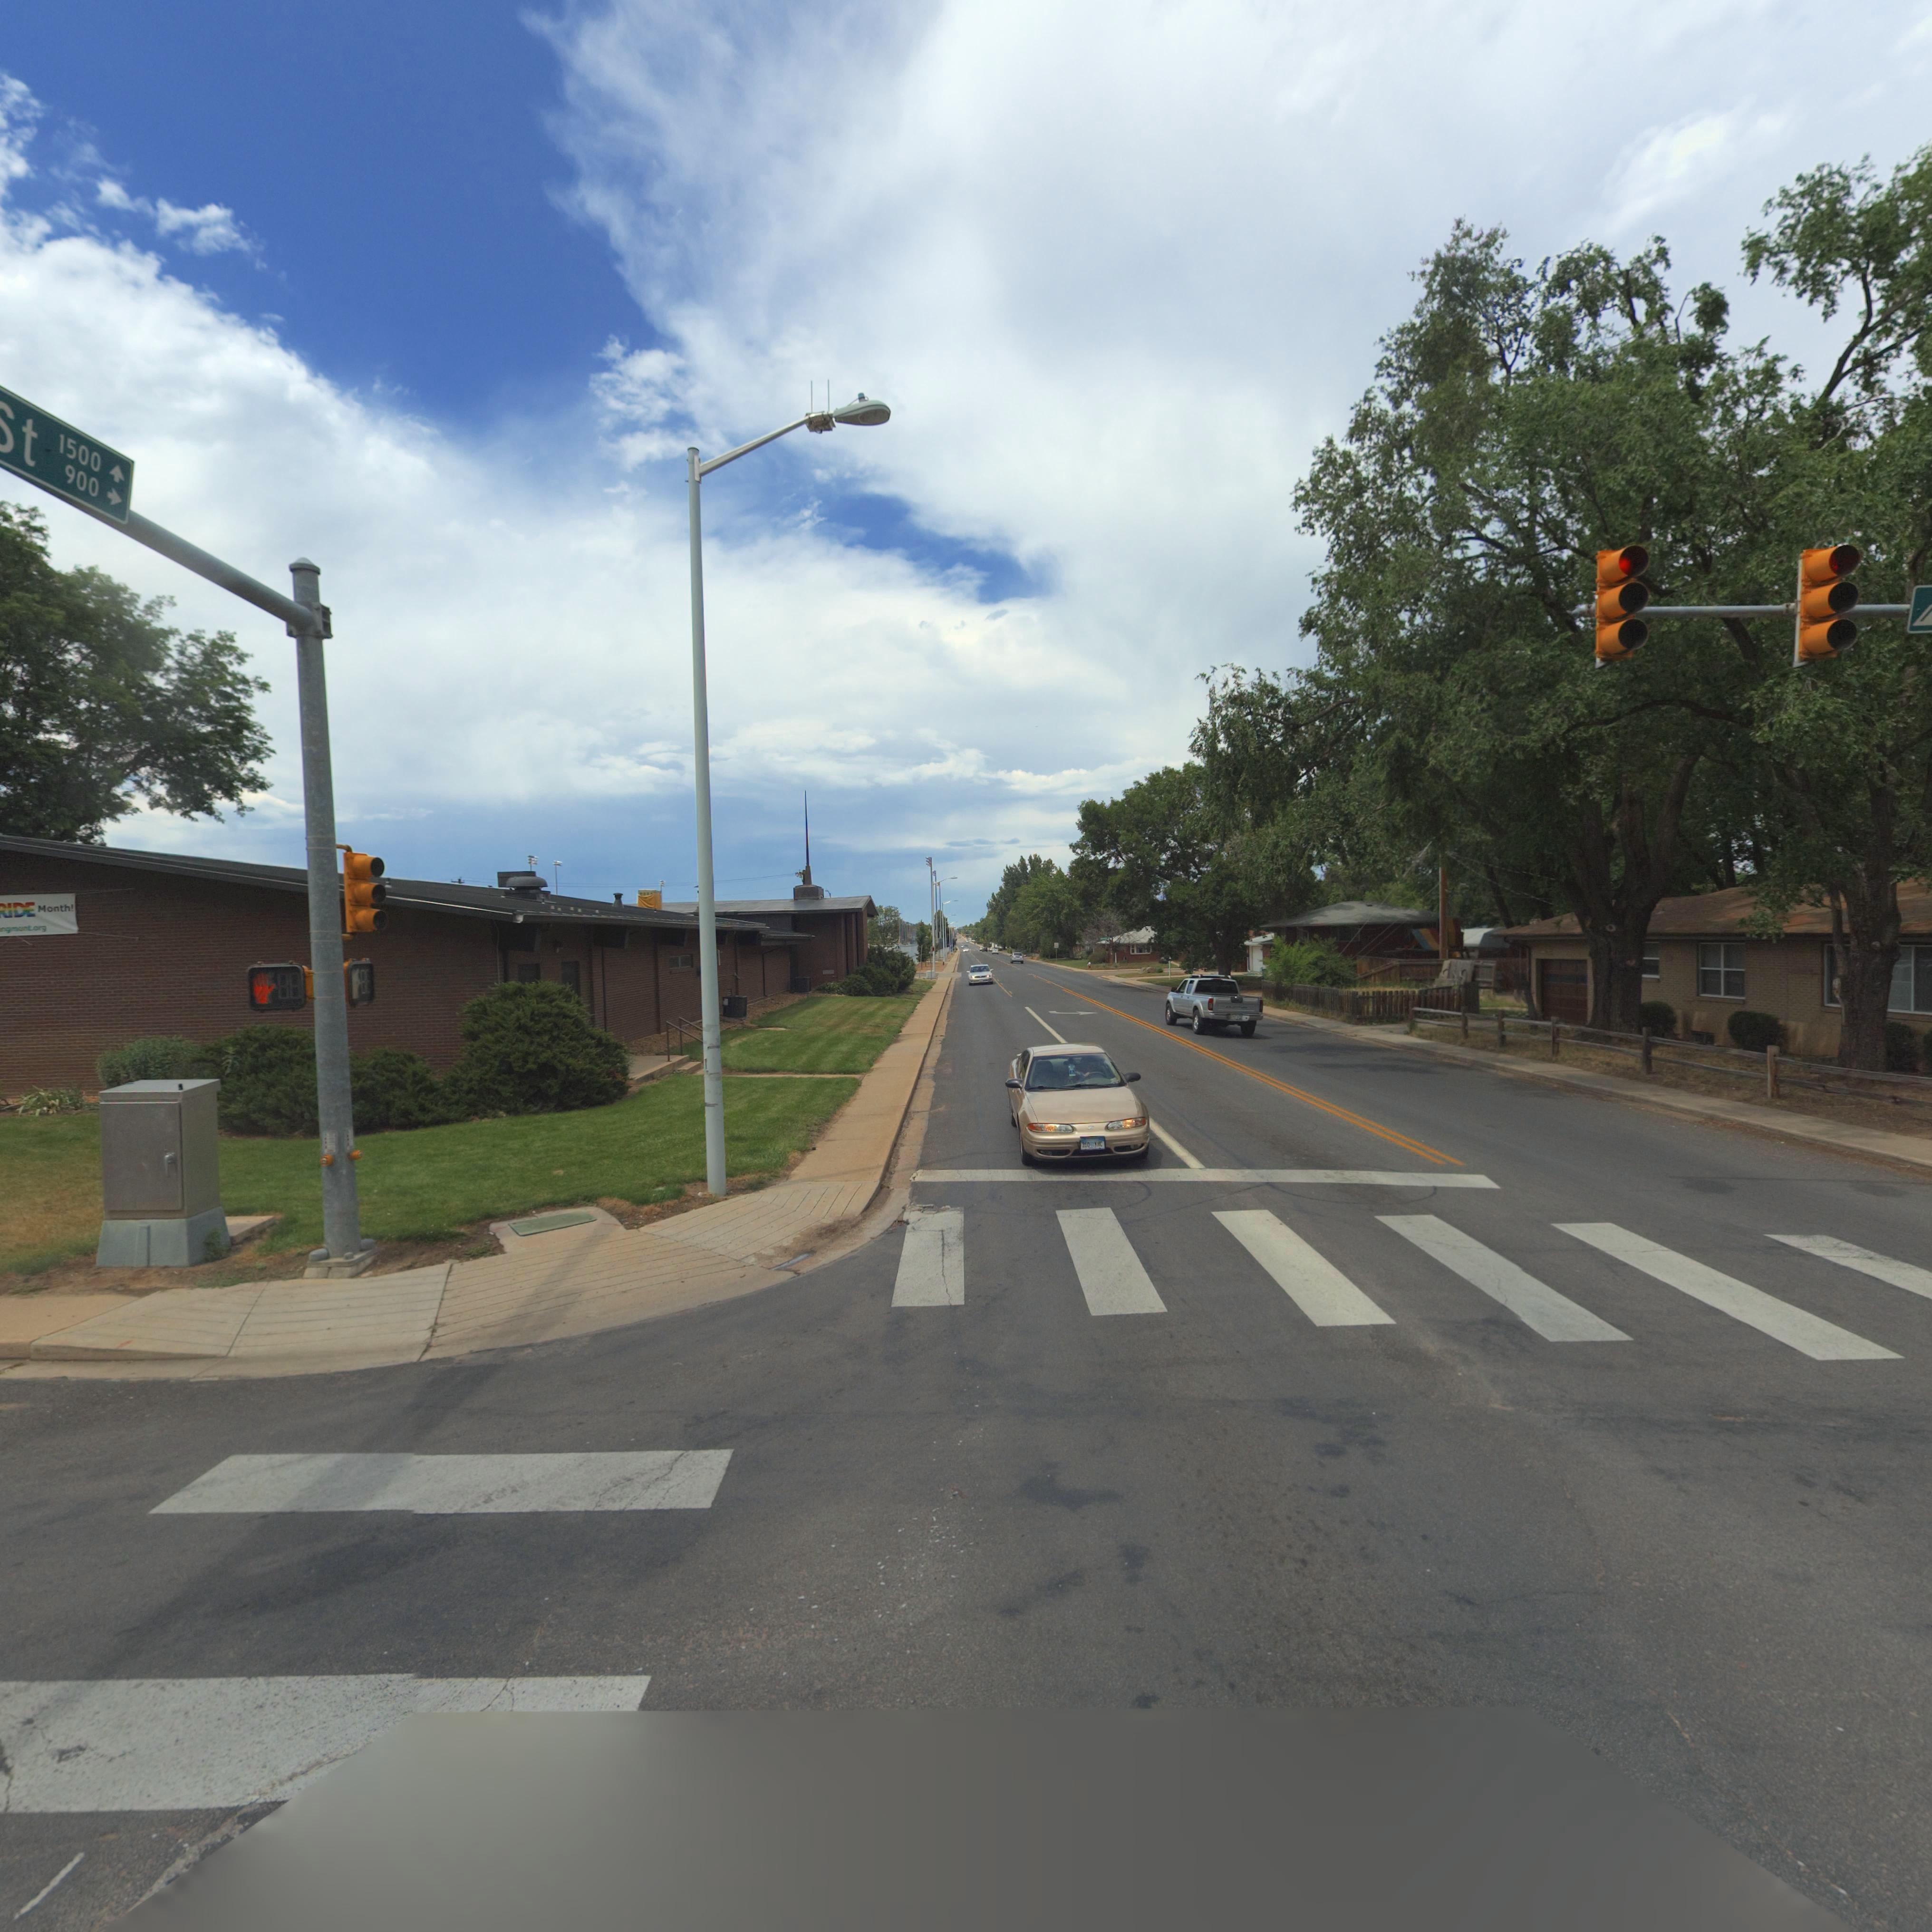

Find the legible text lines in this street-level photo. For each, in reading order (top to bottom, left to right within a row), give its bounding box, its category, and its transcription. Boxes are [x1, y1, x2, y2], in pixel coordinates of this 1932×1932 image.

[3, 401, 39, 470] StreetName: ******* *t
[58, 432, 102, 475] StreetNumberRange: 1500
[63, 463, 123, 511] StreetNumberRange: 900 ->